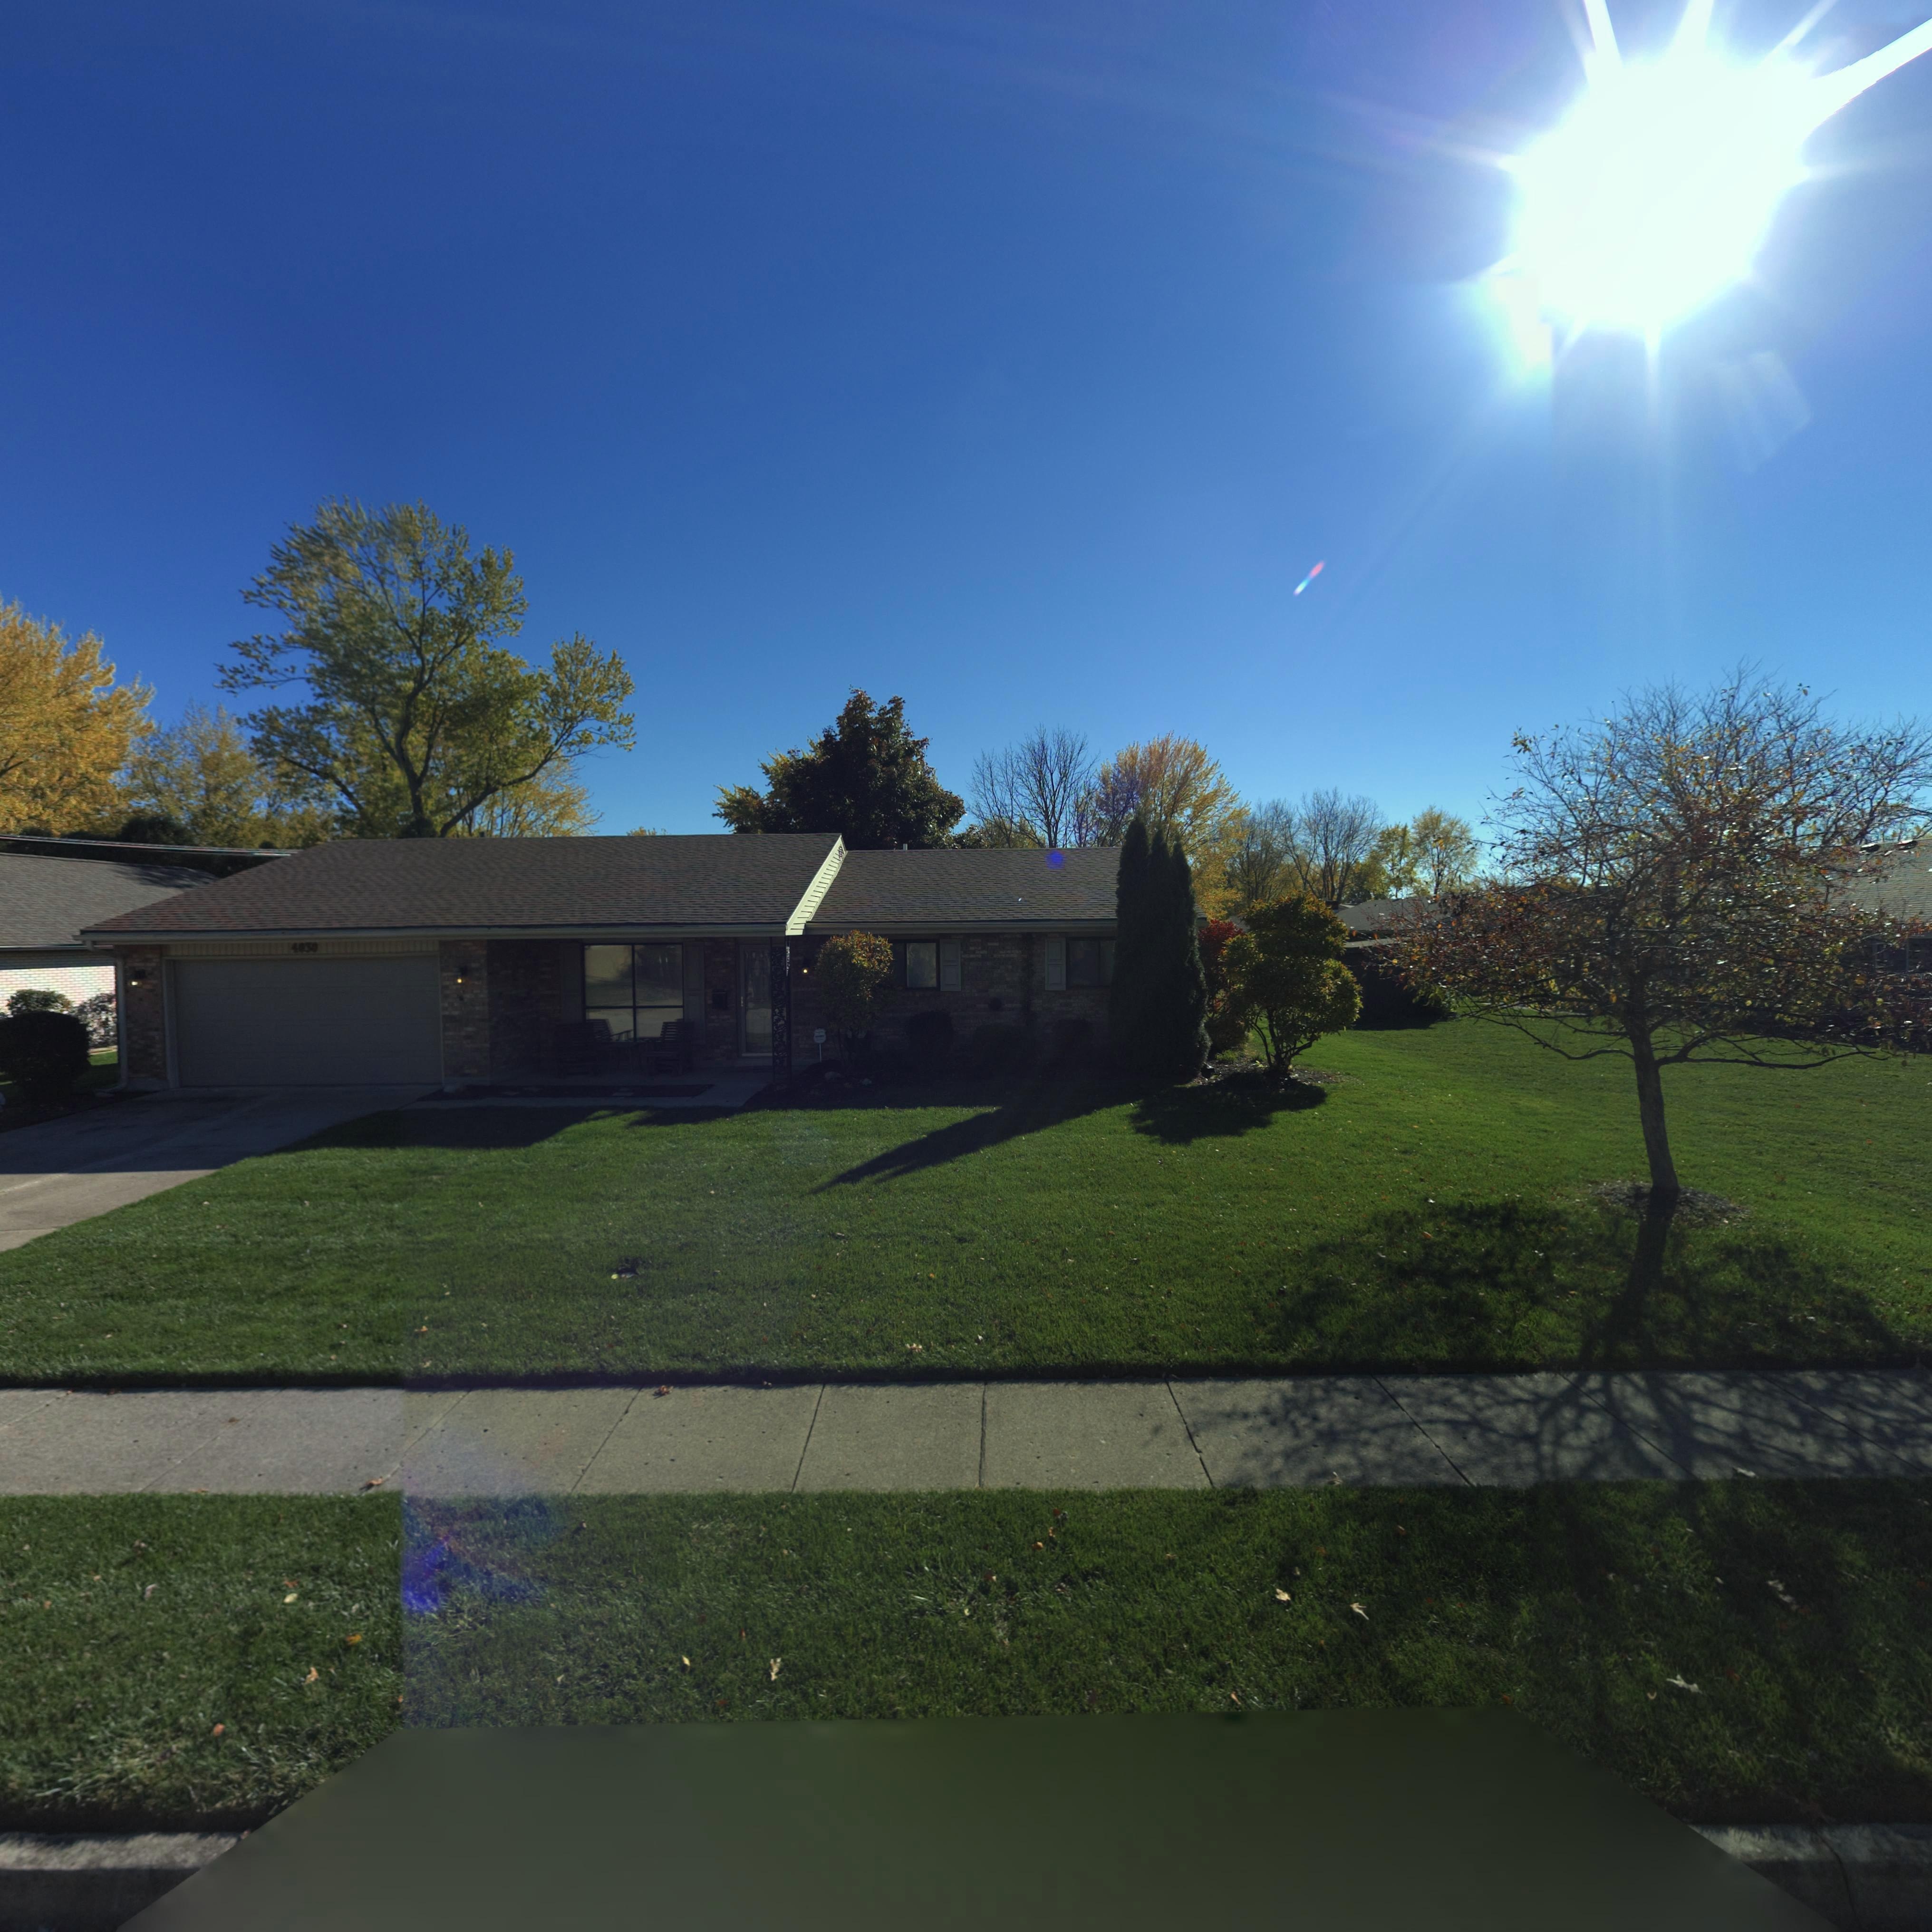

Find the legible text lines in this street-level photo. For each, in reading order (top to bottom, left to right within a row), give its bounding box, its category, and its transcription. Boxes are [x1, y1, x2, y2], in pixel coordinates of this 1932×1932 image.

[290, 941, 318, 953] StreetNumber: 4030